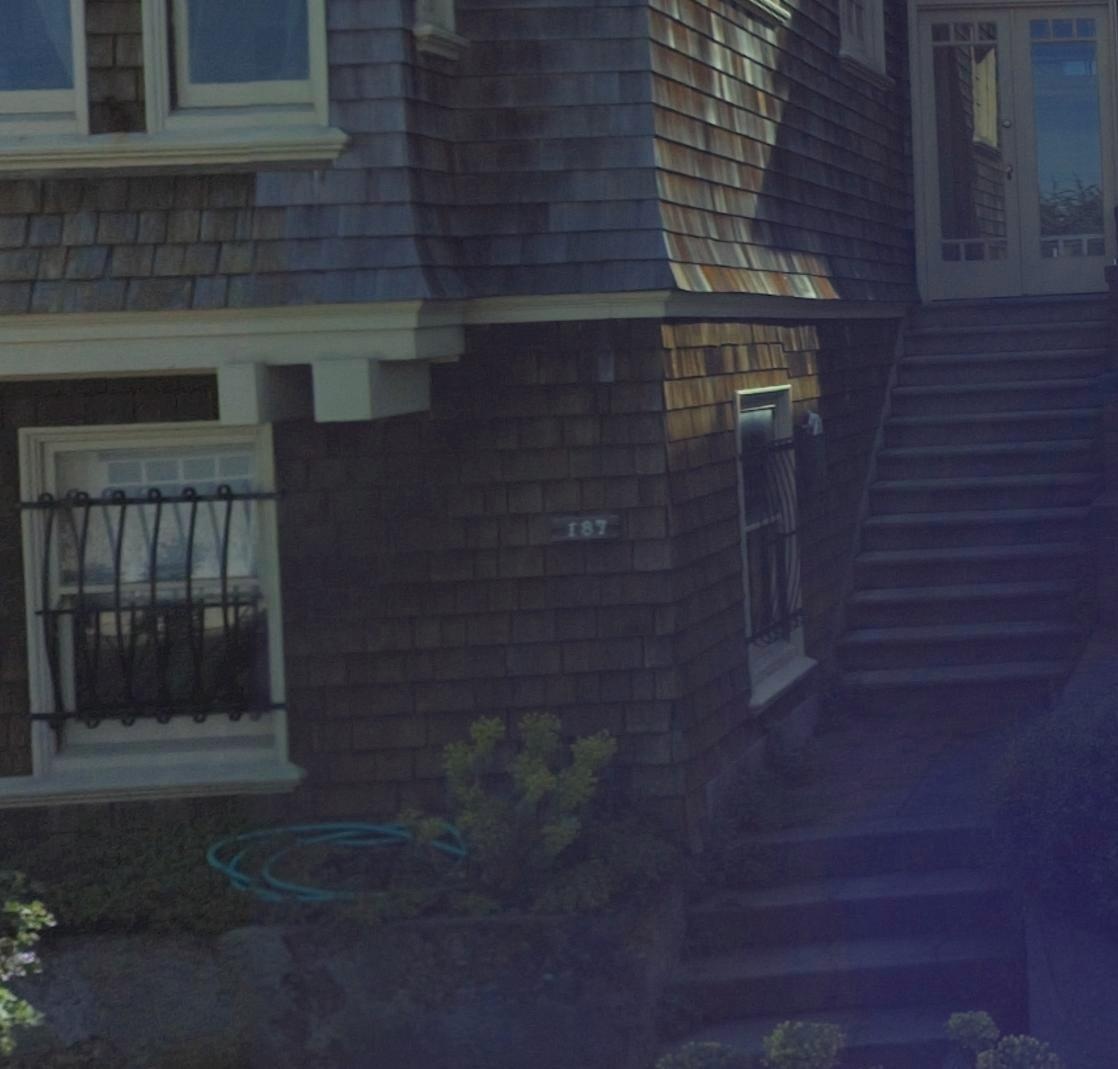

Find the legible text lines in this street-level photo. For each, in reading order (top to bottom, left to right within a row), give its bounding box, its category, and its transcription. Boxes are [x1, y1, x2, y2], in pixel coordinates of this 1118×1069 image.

[565, 518, 611, 539] StreetNumber: 187